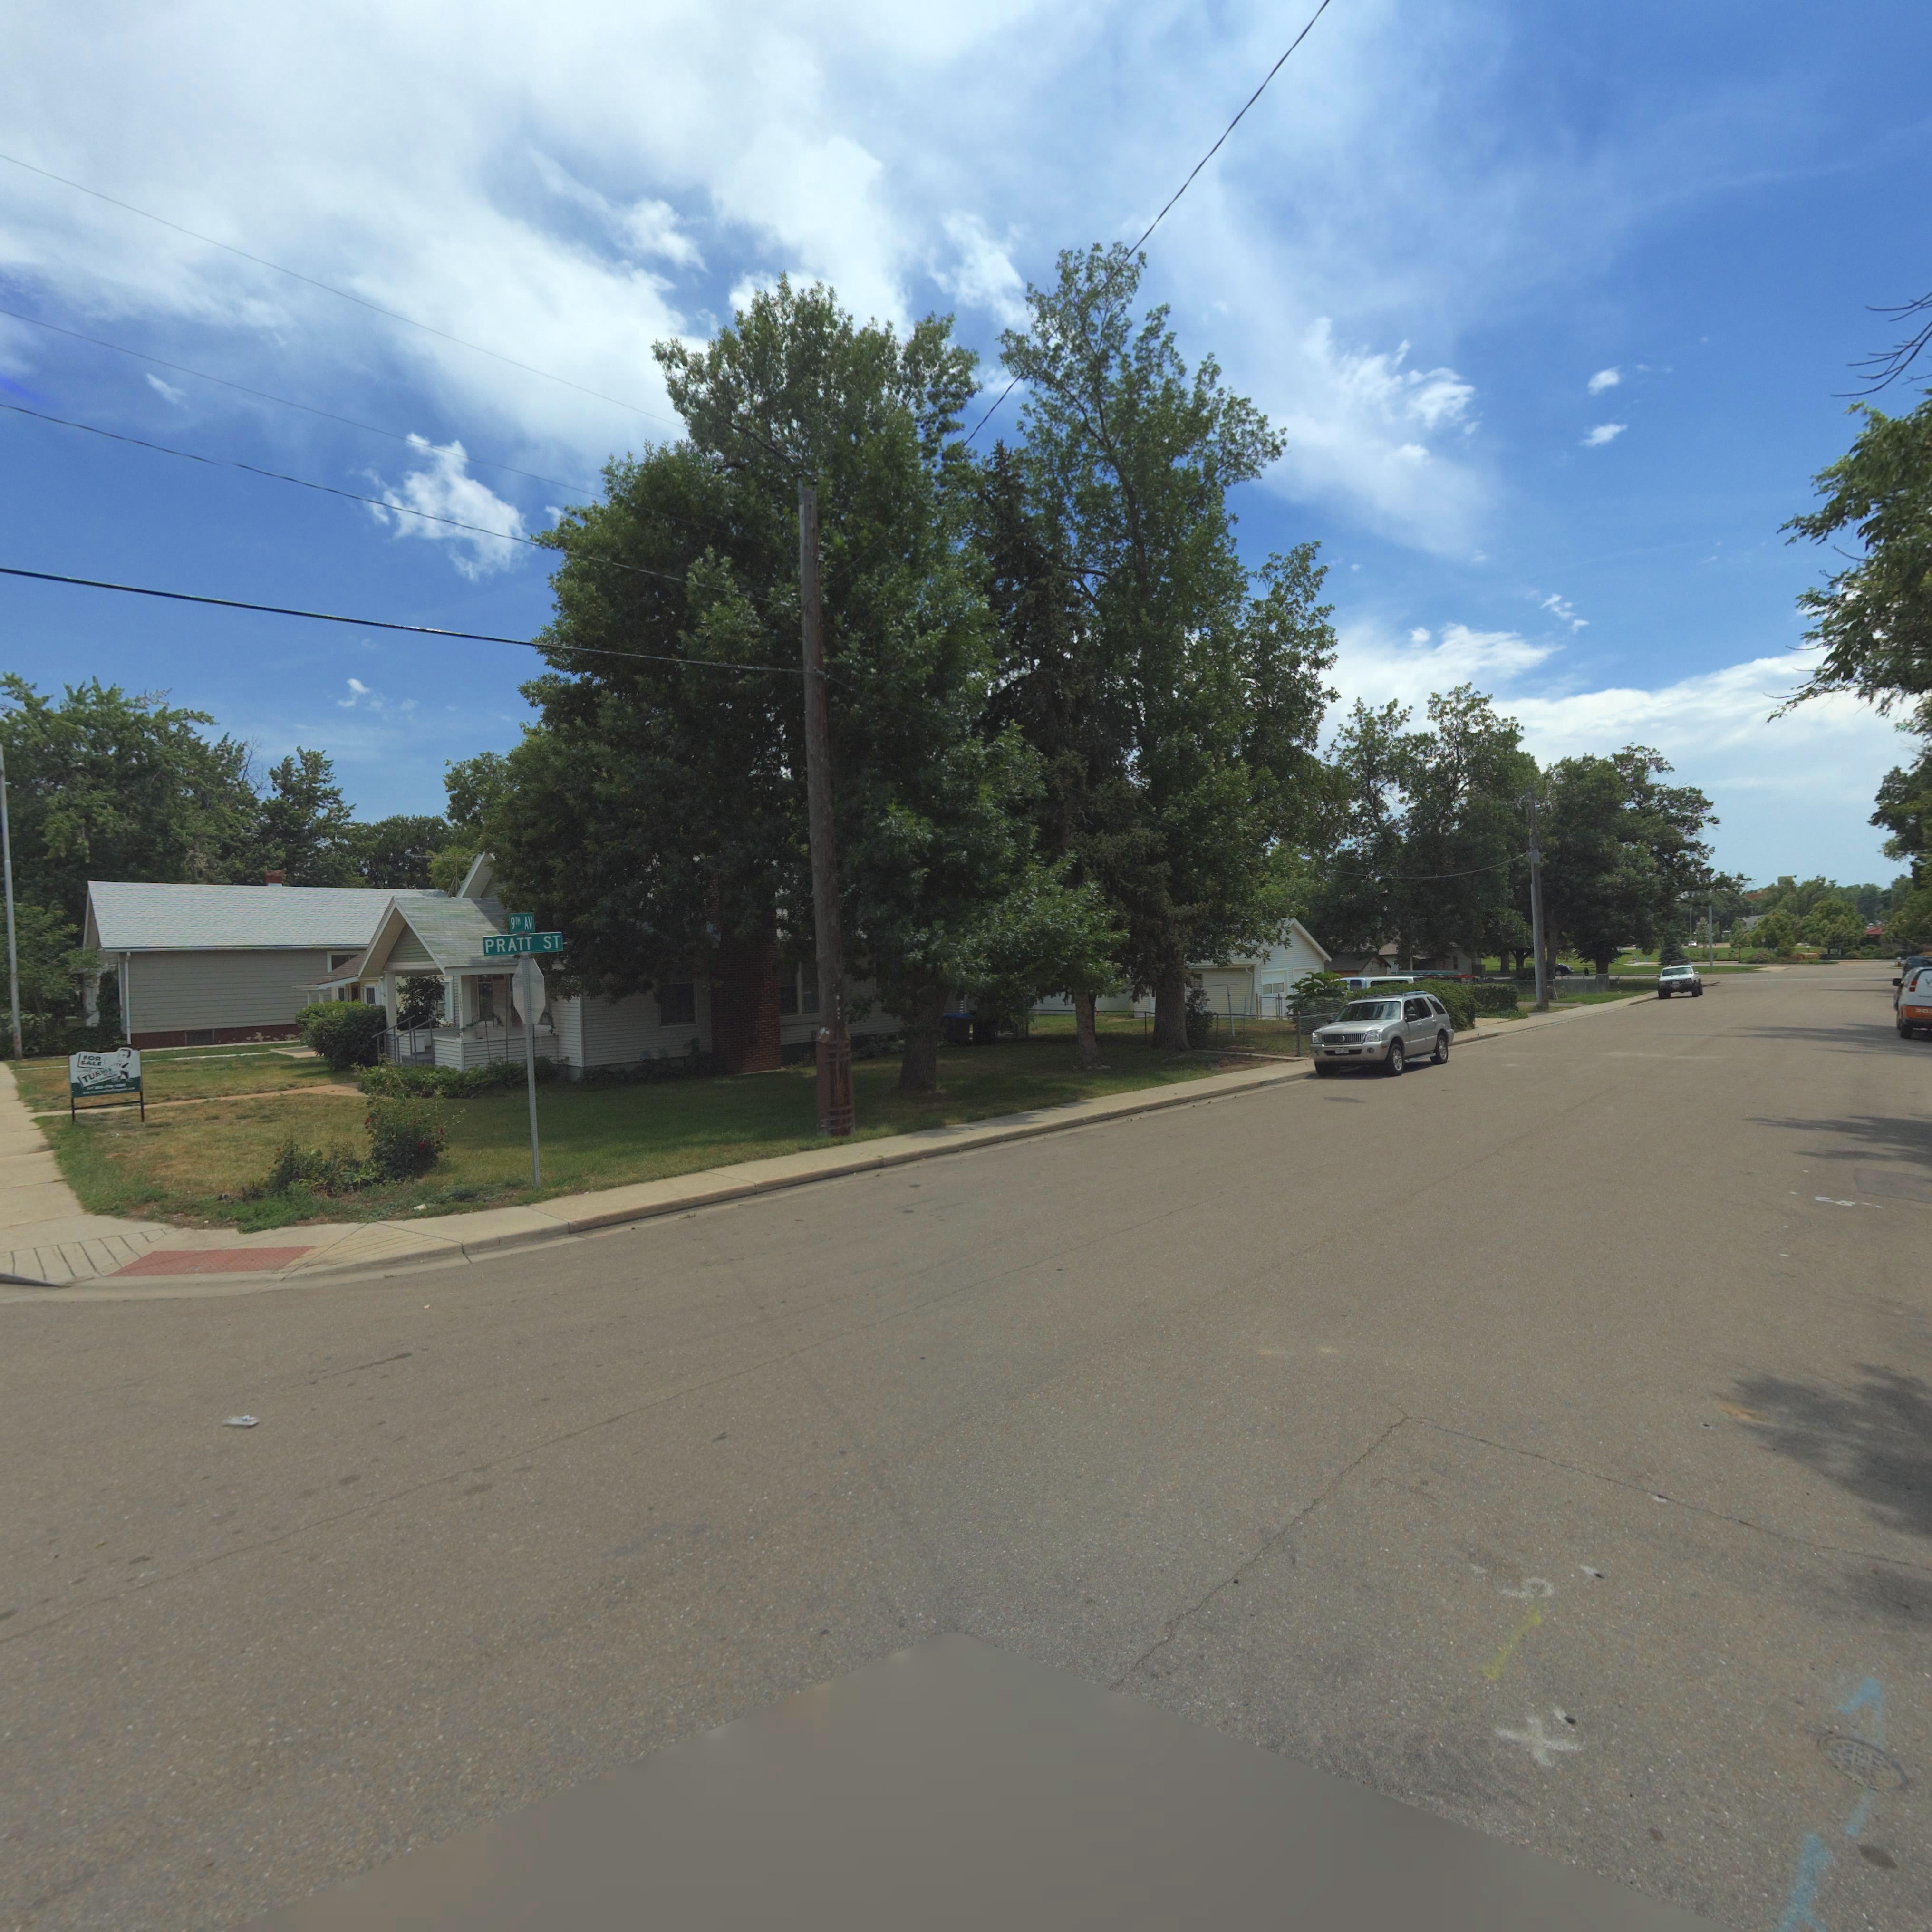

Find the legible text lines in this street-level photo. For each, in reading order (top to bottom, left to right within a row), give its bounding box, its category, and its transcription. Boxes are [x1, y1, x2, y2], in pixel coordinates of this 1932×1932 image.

[511, 916, 532, 929] StreetName: 9TH AV
[485, 935, 560, 953] StreetName: PRATT ST
[459, 992, 462, 1011] StreetNumber: *65